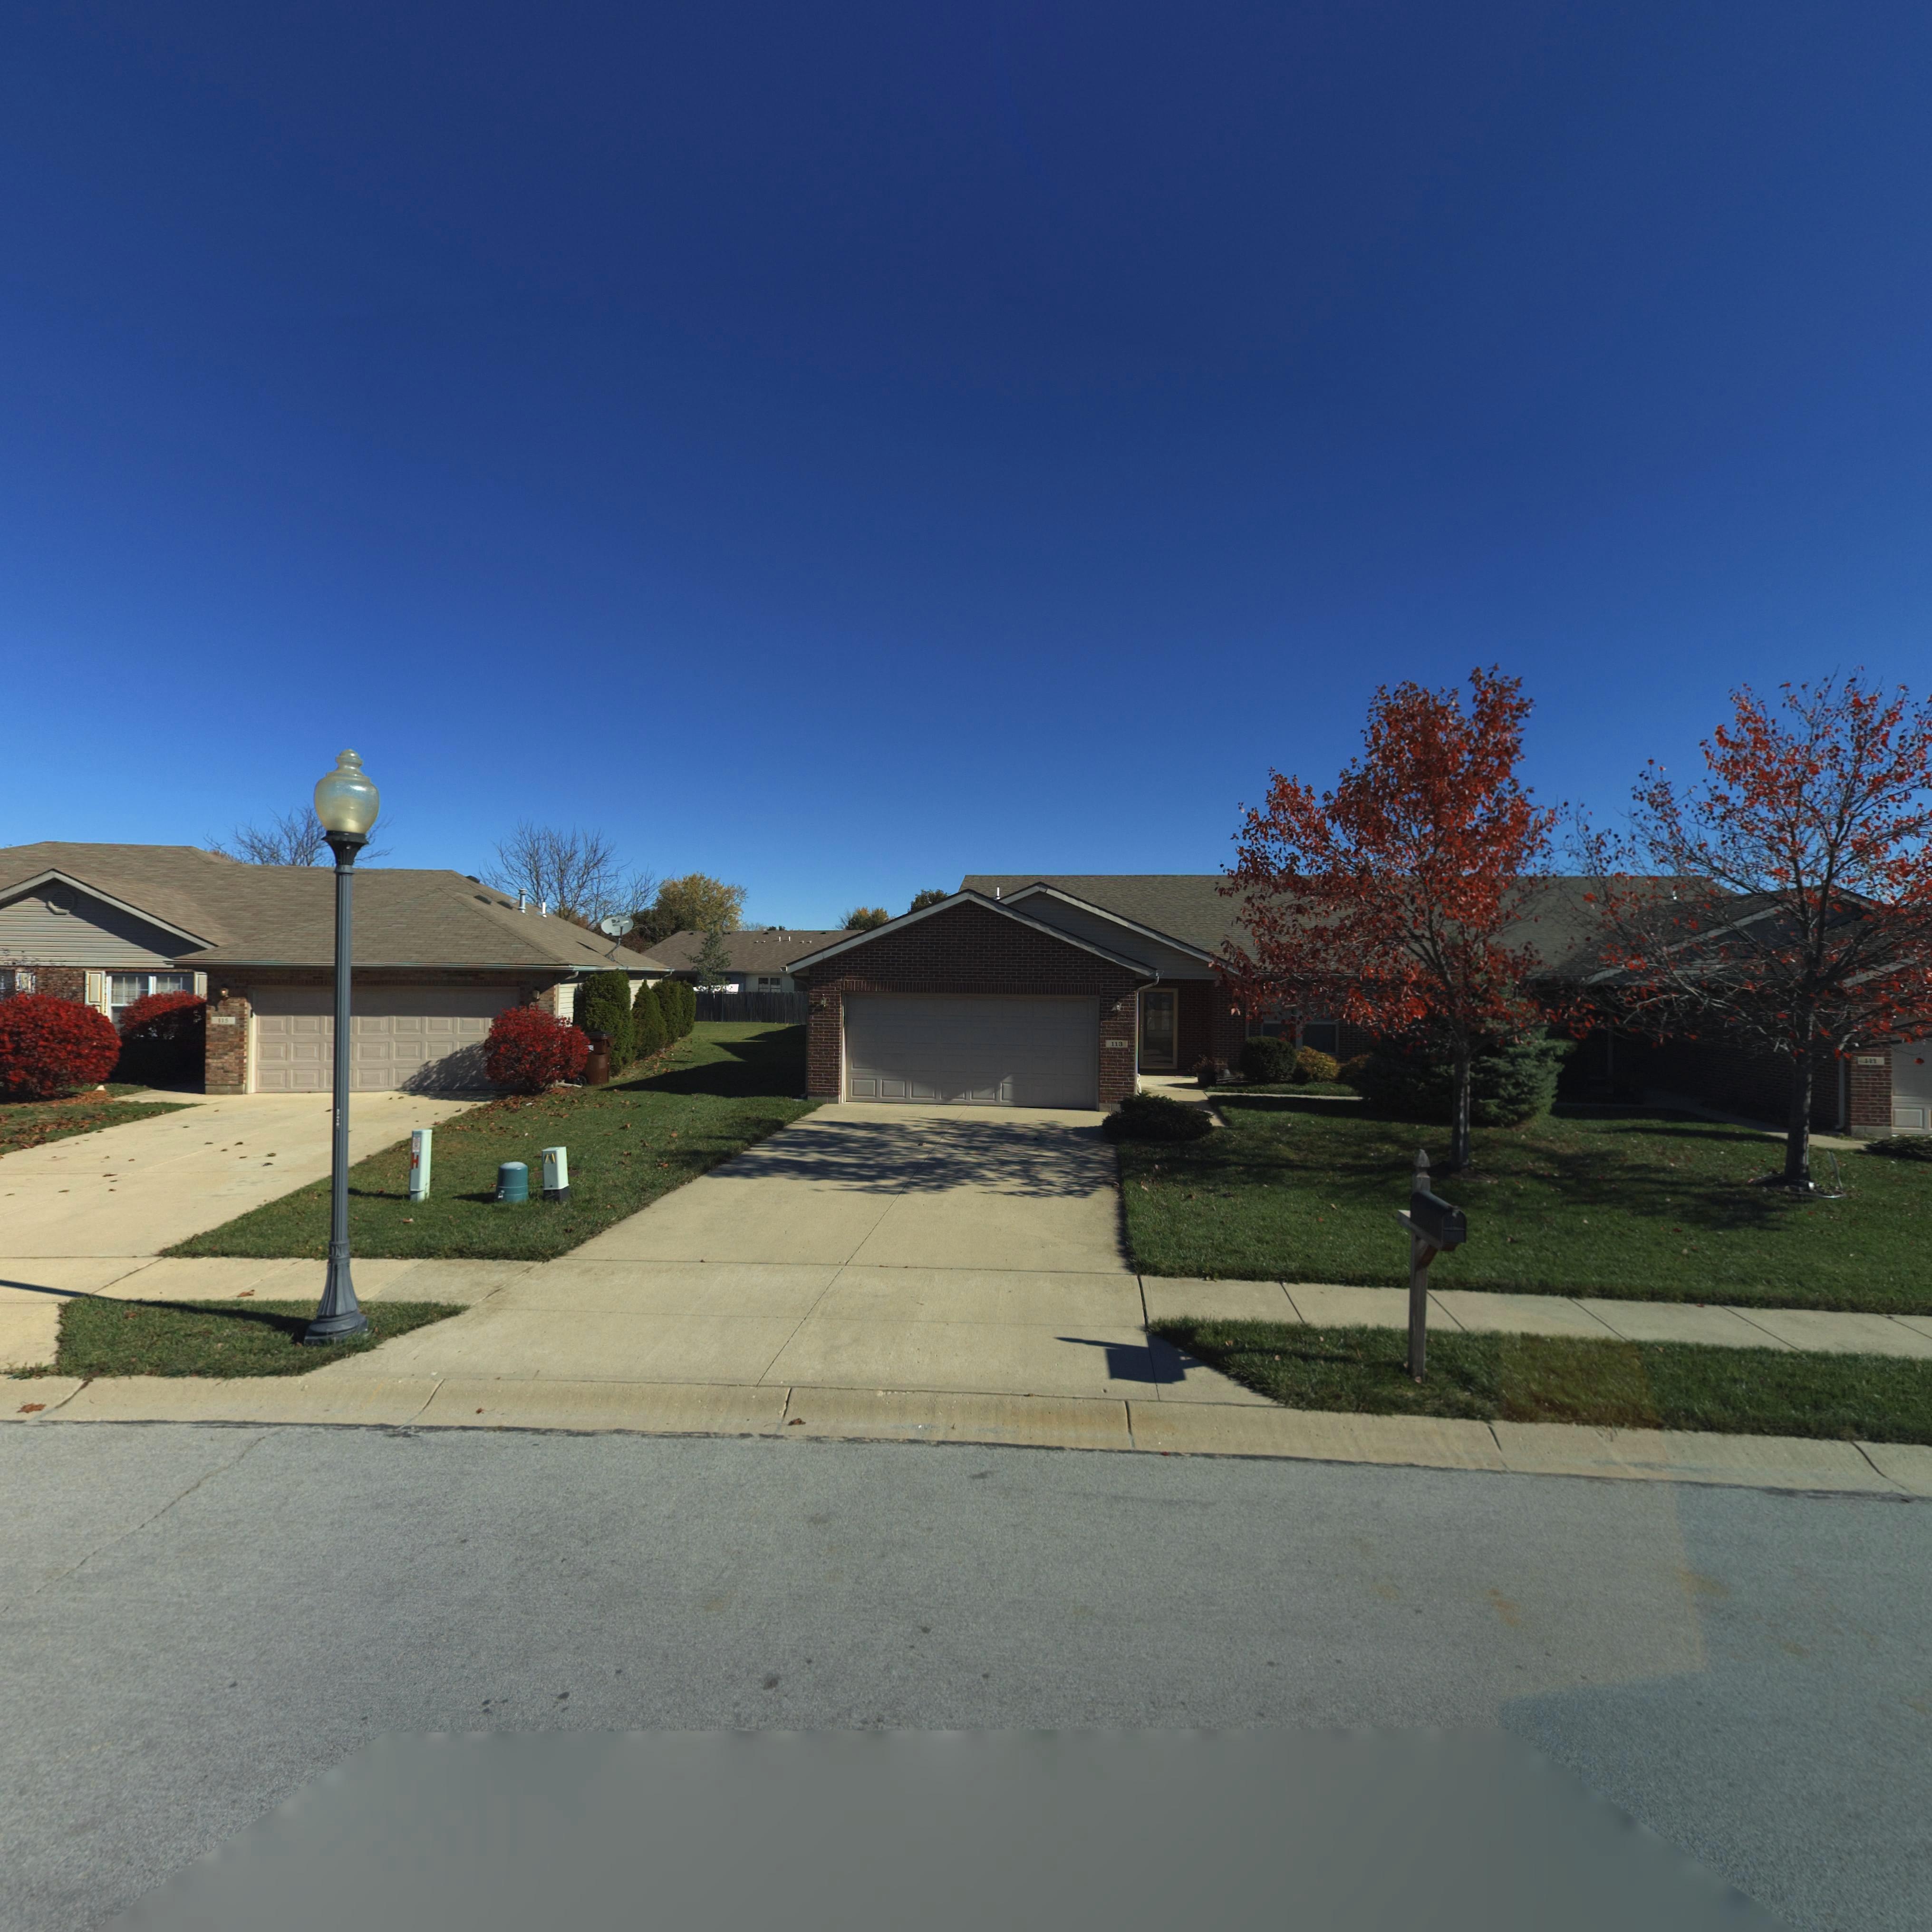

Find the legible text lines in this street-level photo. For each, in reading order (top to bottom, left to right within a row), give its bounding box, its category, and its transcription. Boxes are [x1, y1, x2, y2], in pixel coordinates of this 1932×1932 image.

[218, 1017, 229, 1024] StreetNumber: 115
[1111, 1041, 1123, 1047] StreetNumber: 113
[1864, 1057, 1877, 1064] StreetNumber: 111